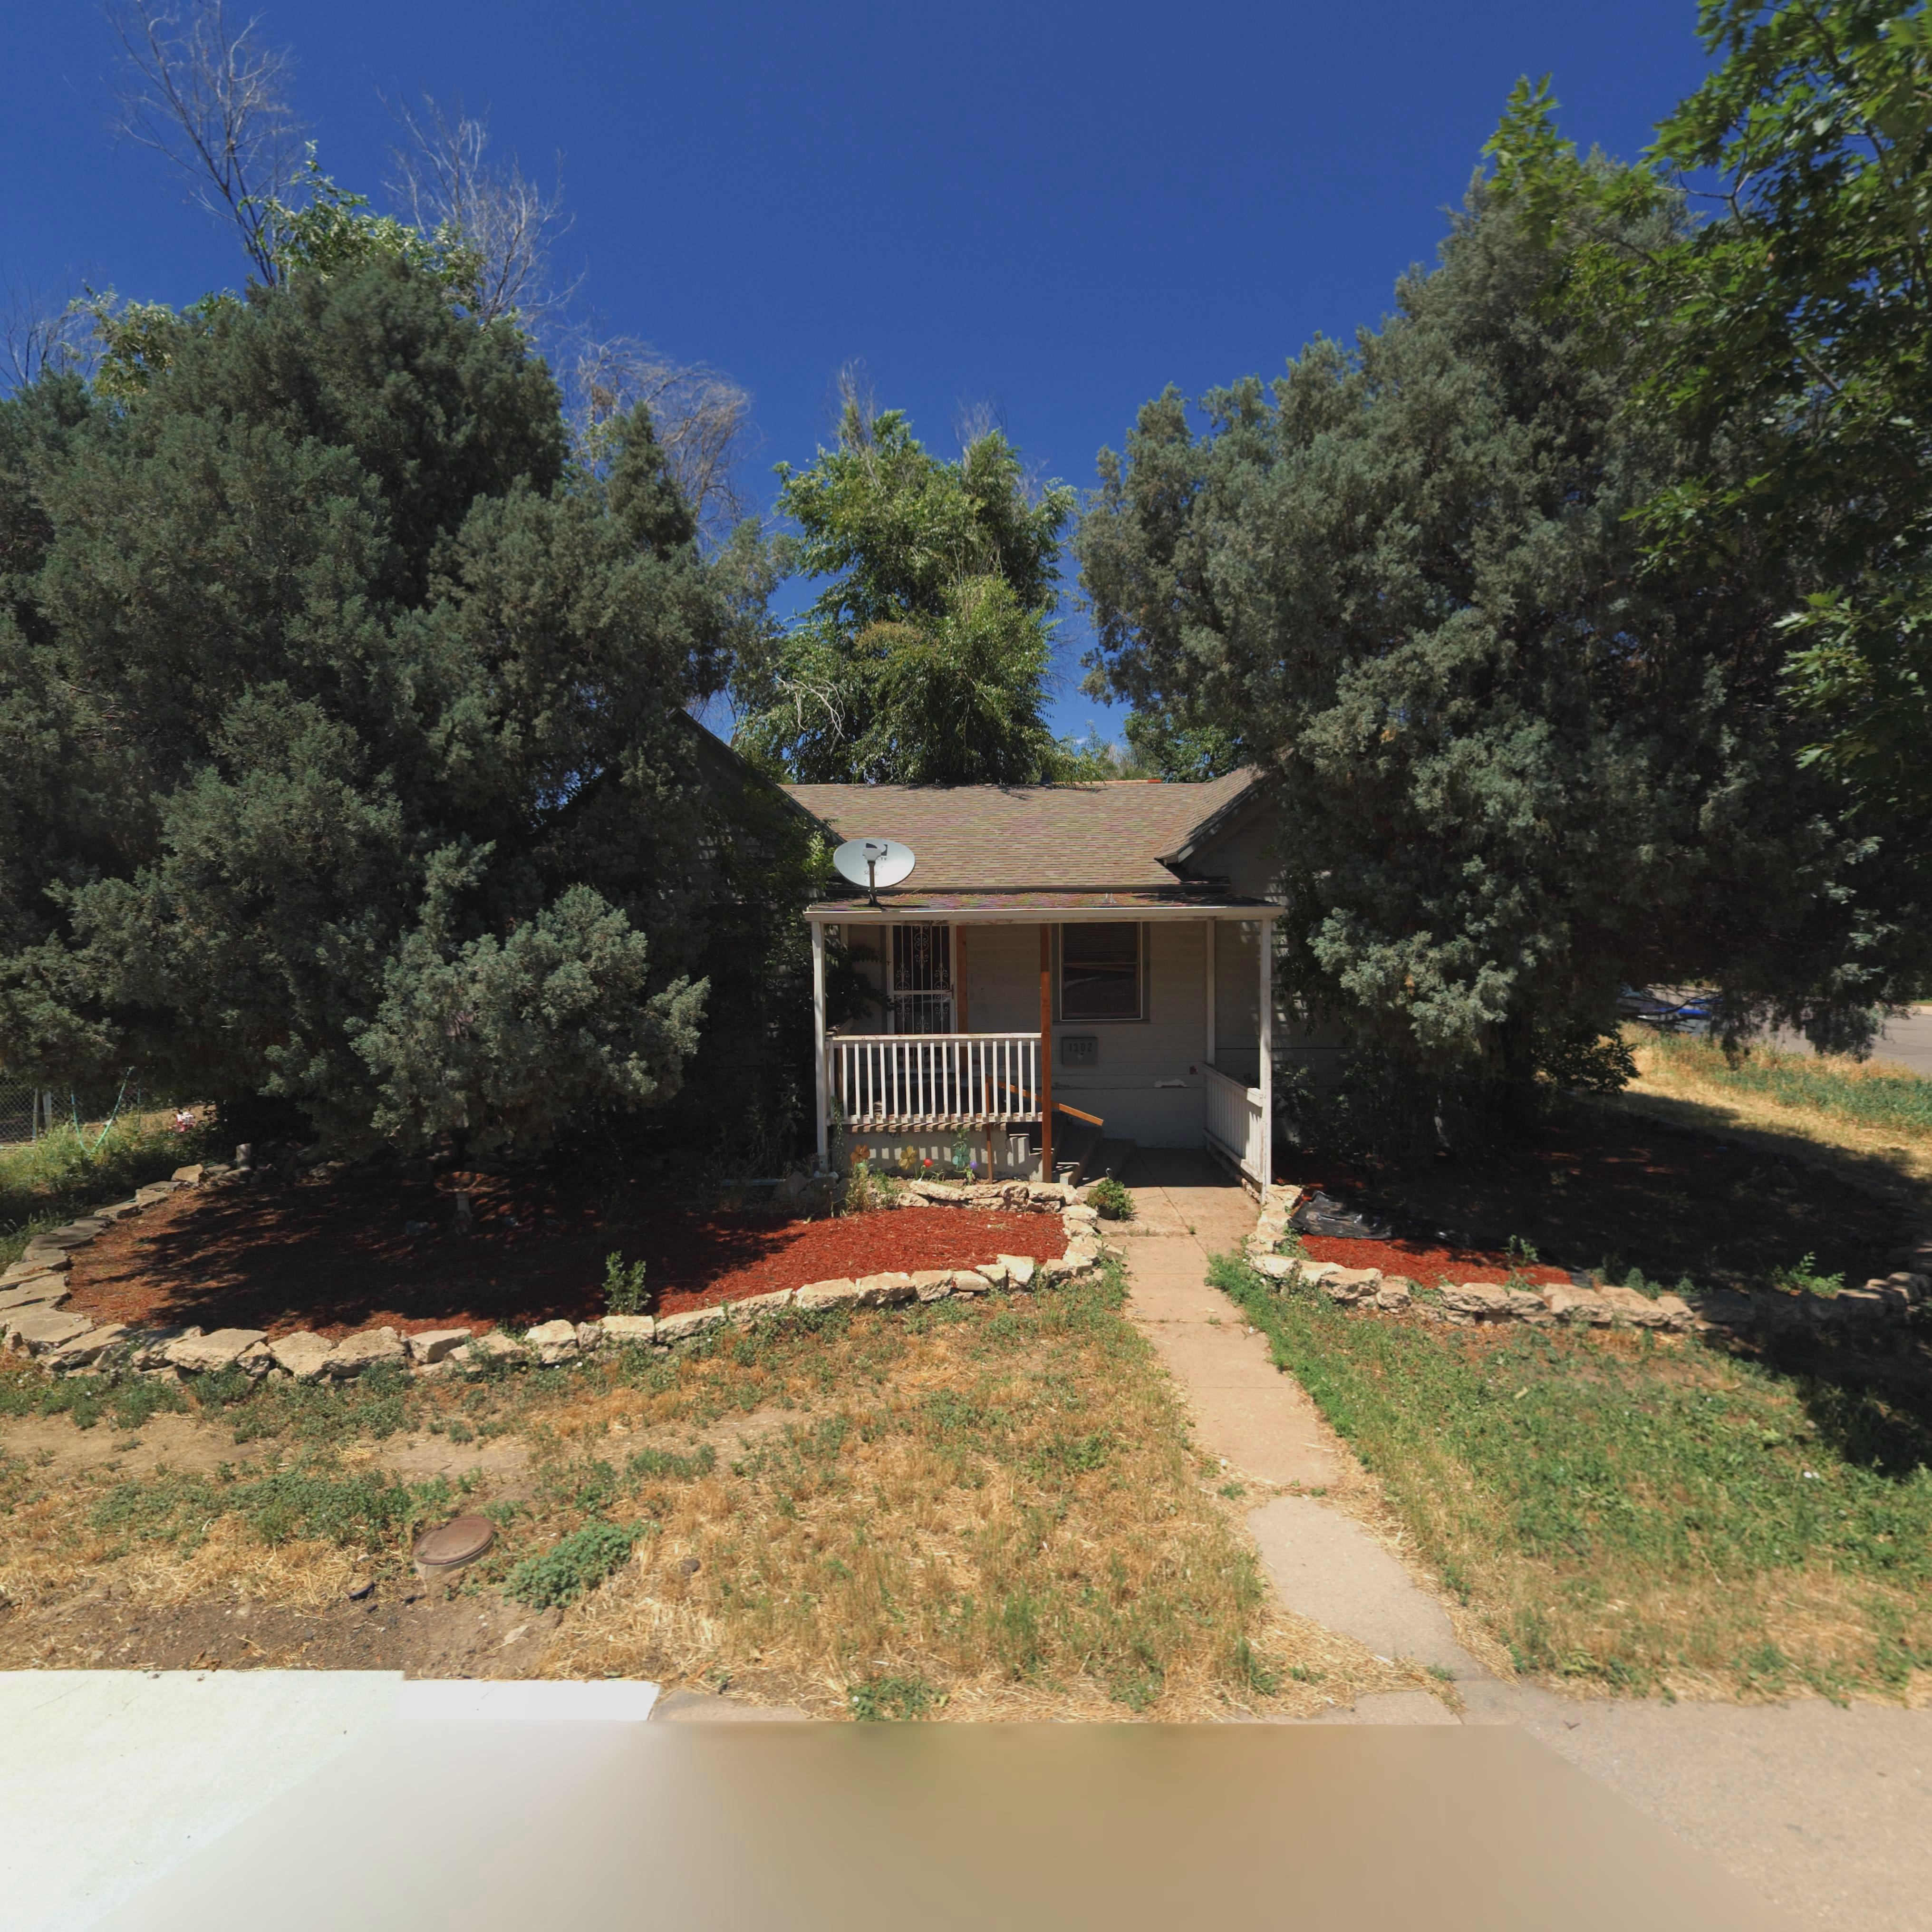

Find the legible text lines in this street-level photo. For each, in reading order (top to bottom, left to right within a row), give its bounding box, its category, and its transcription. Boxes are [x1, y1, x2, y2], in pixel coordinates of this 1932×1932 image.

[1068, 1043, 1092, 1052] StreetNumber: 1302